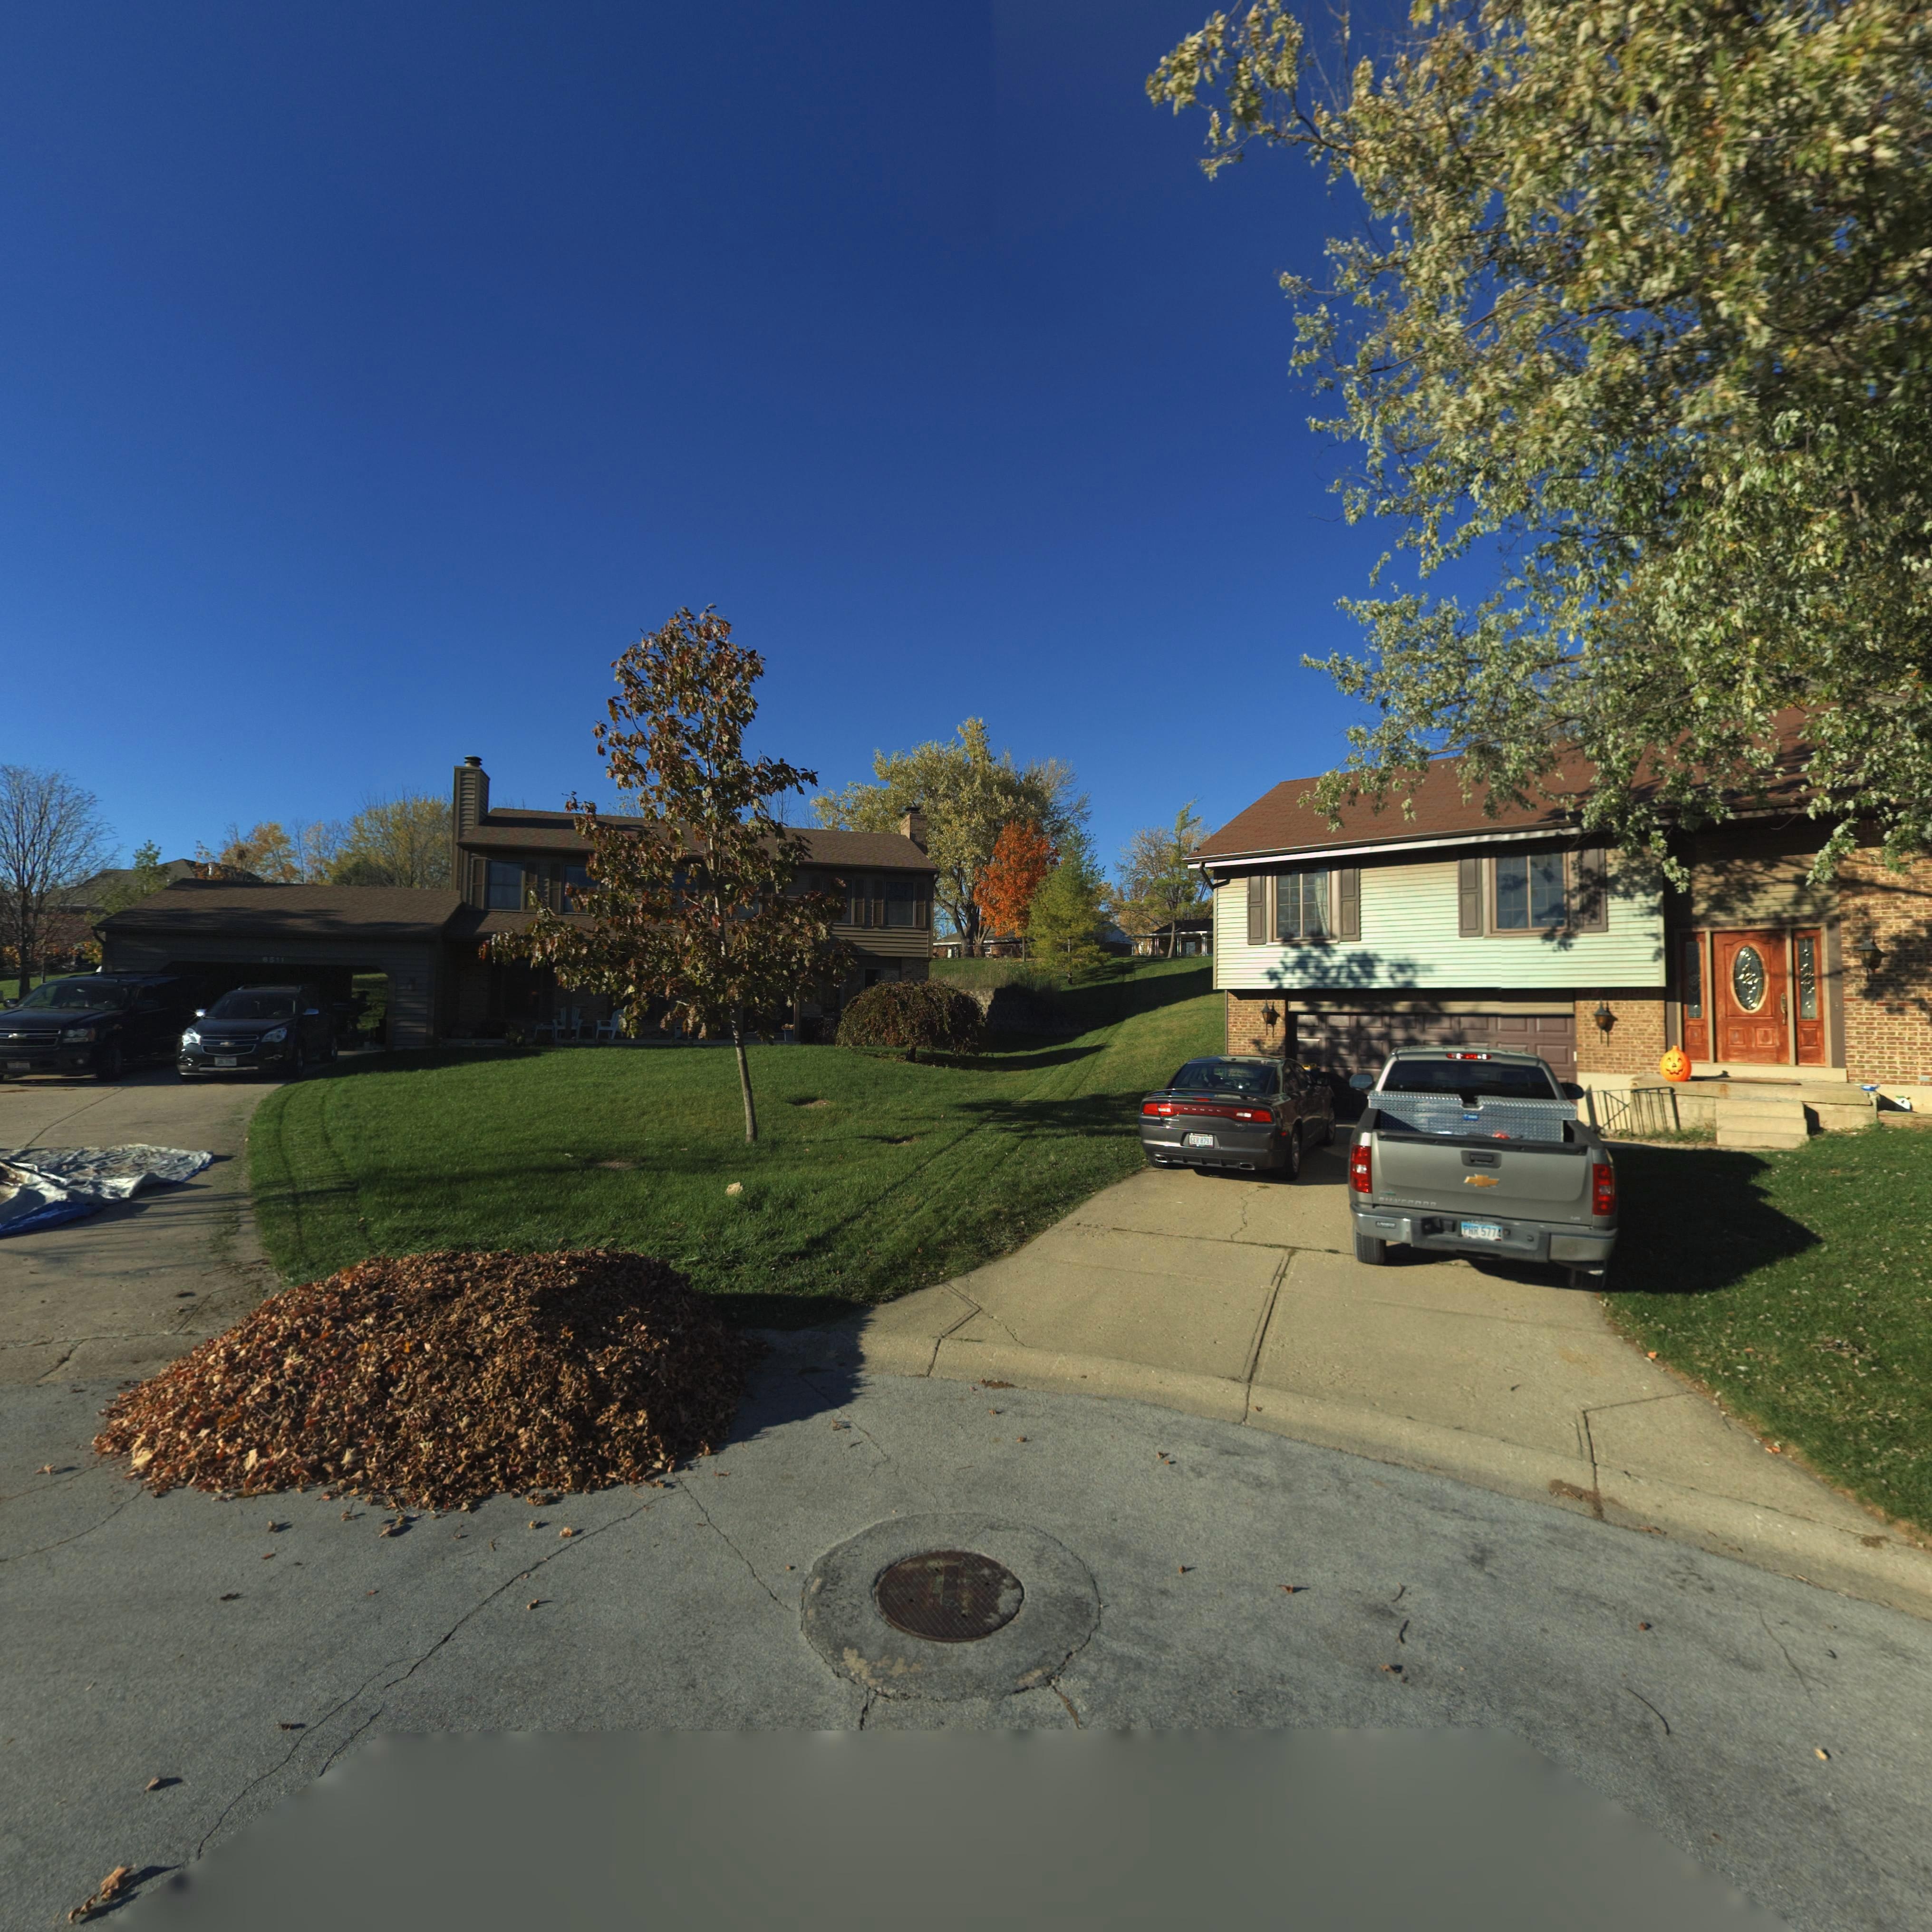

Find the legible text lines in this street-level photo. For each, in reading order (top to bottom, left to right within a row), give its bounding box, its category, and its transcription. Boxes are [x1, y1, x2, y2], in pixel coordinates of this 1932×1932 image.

[261, 956, 285, 965] StreetNumber: 6511